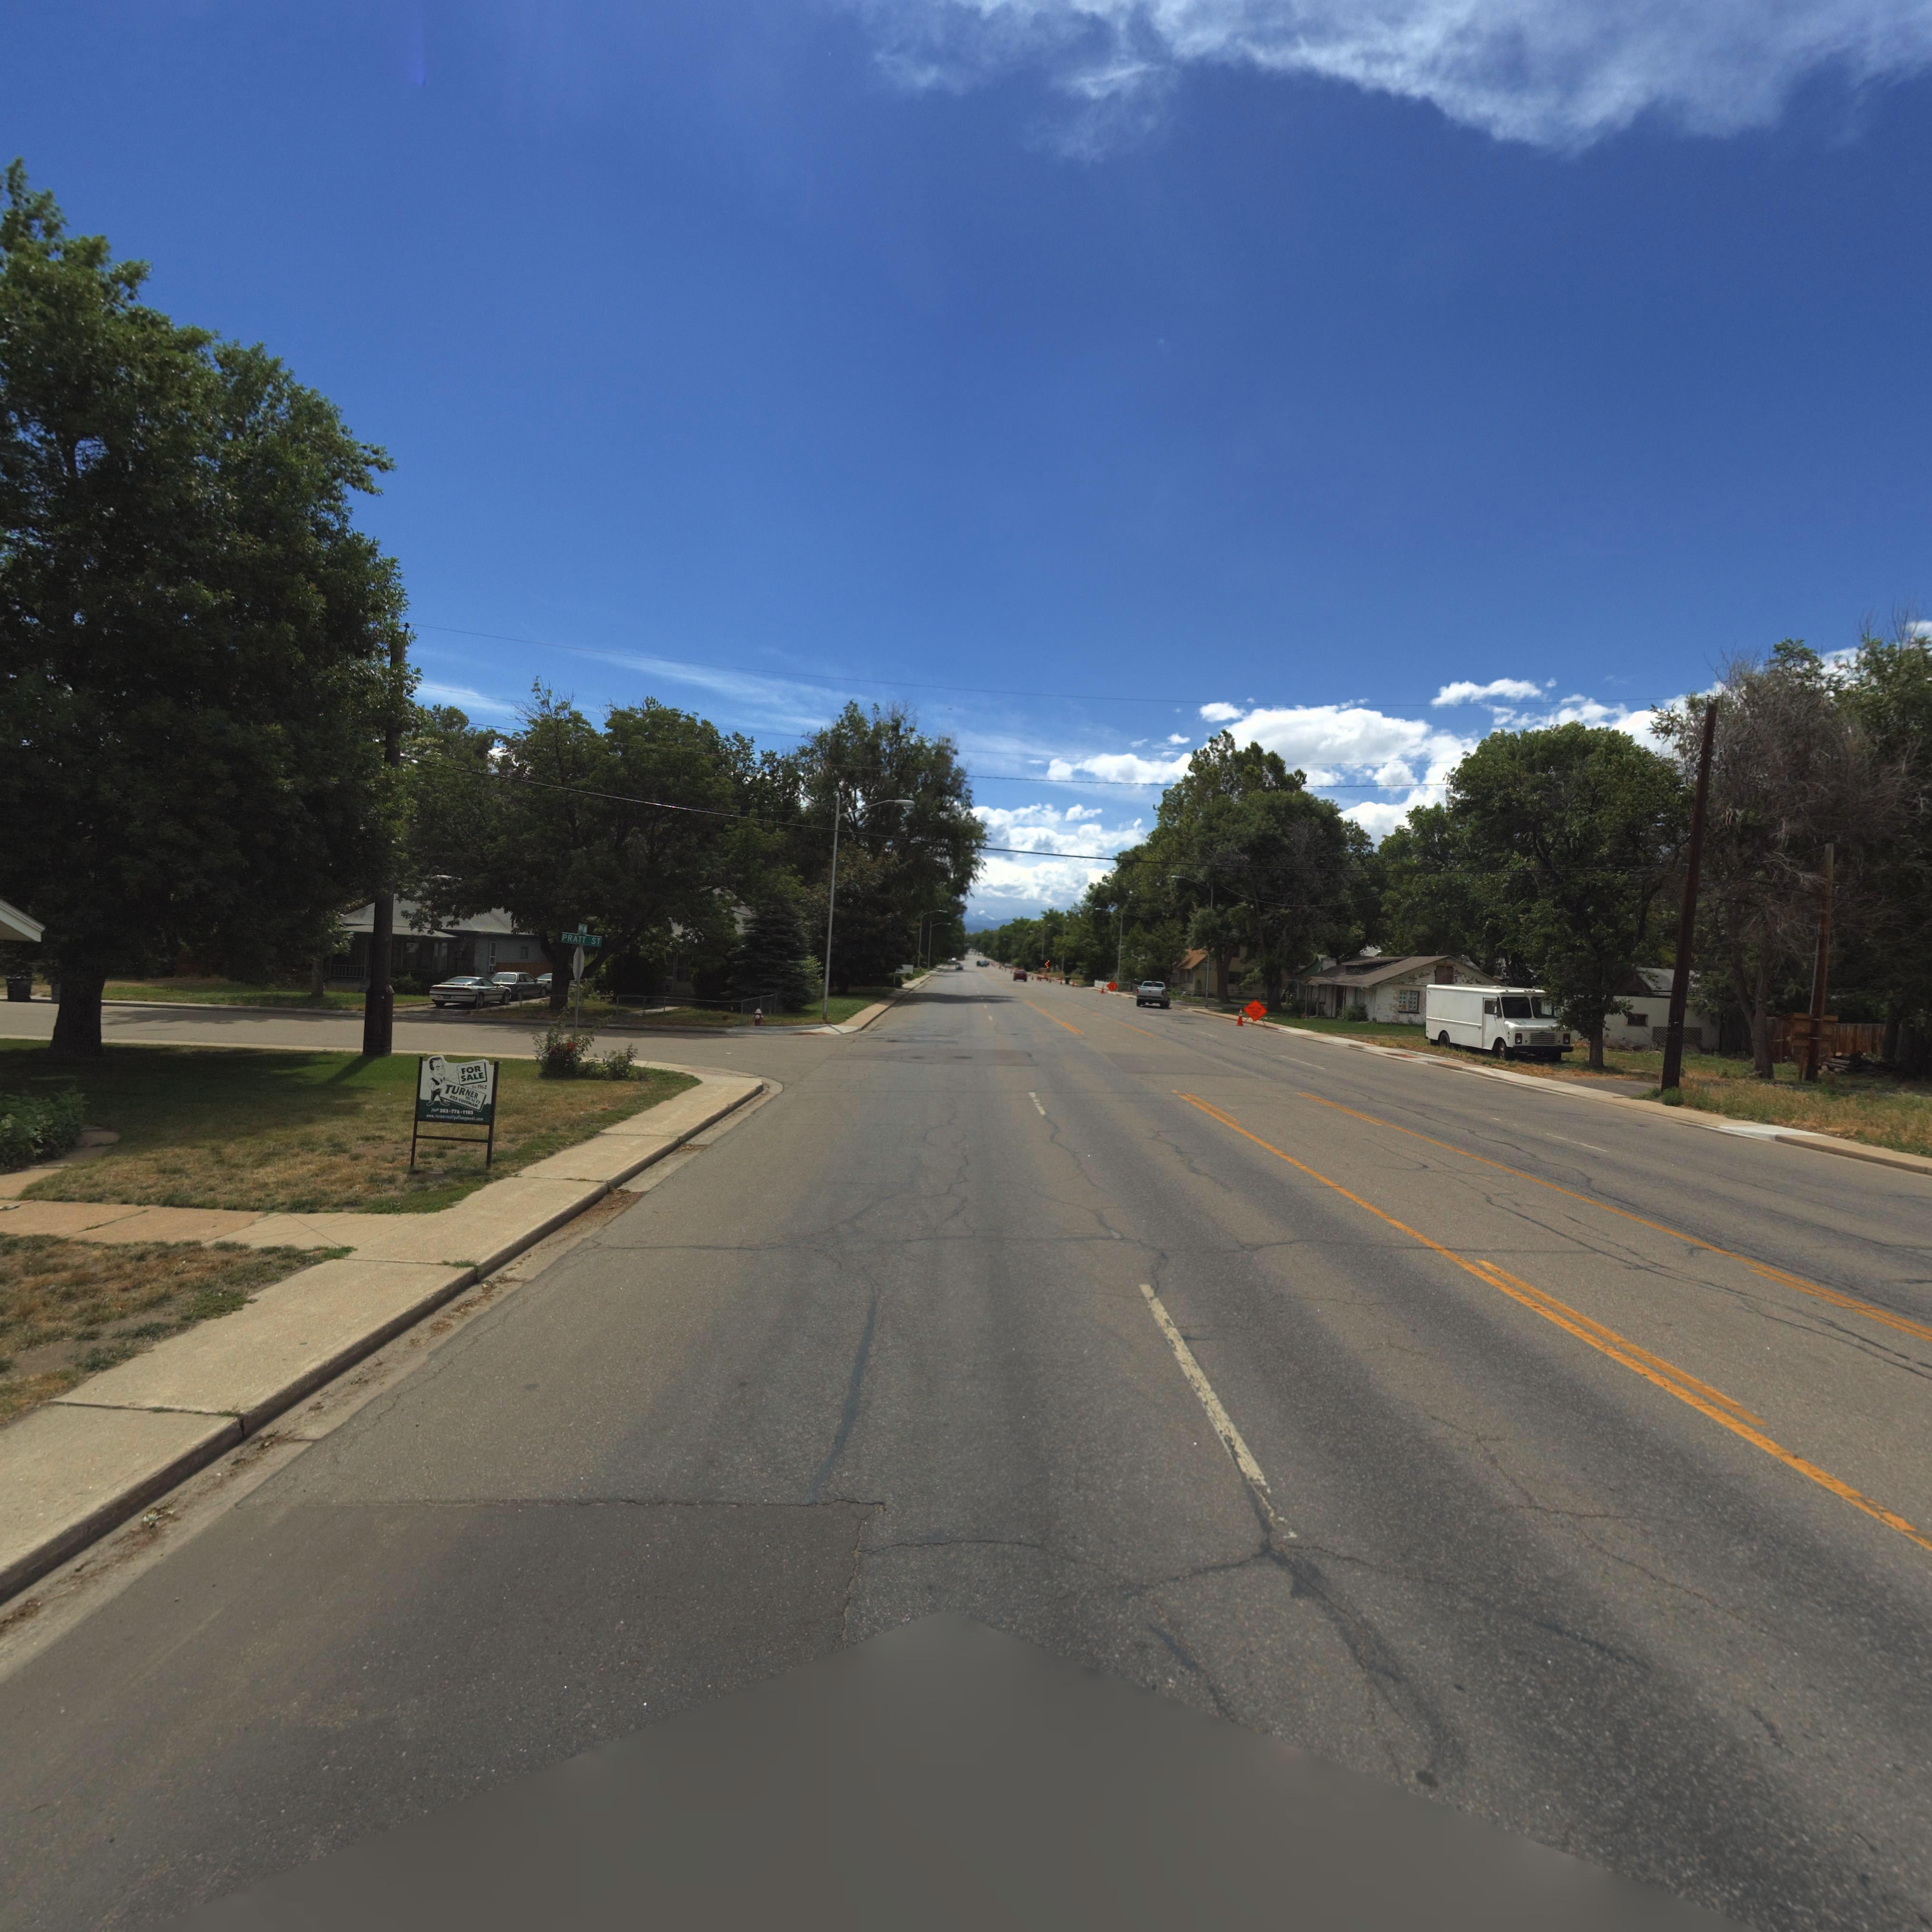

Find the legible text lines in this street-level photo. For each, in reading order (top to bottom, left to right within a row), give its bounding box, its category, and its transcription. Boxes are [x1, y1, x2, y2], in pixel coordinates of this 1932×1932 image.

[561, 934, 600, 945] StreetName: PRATT ST